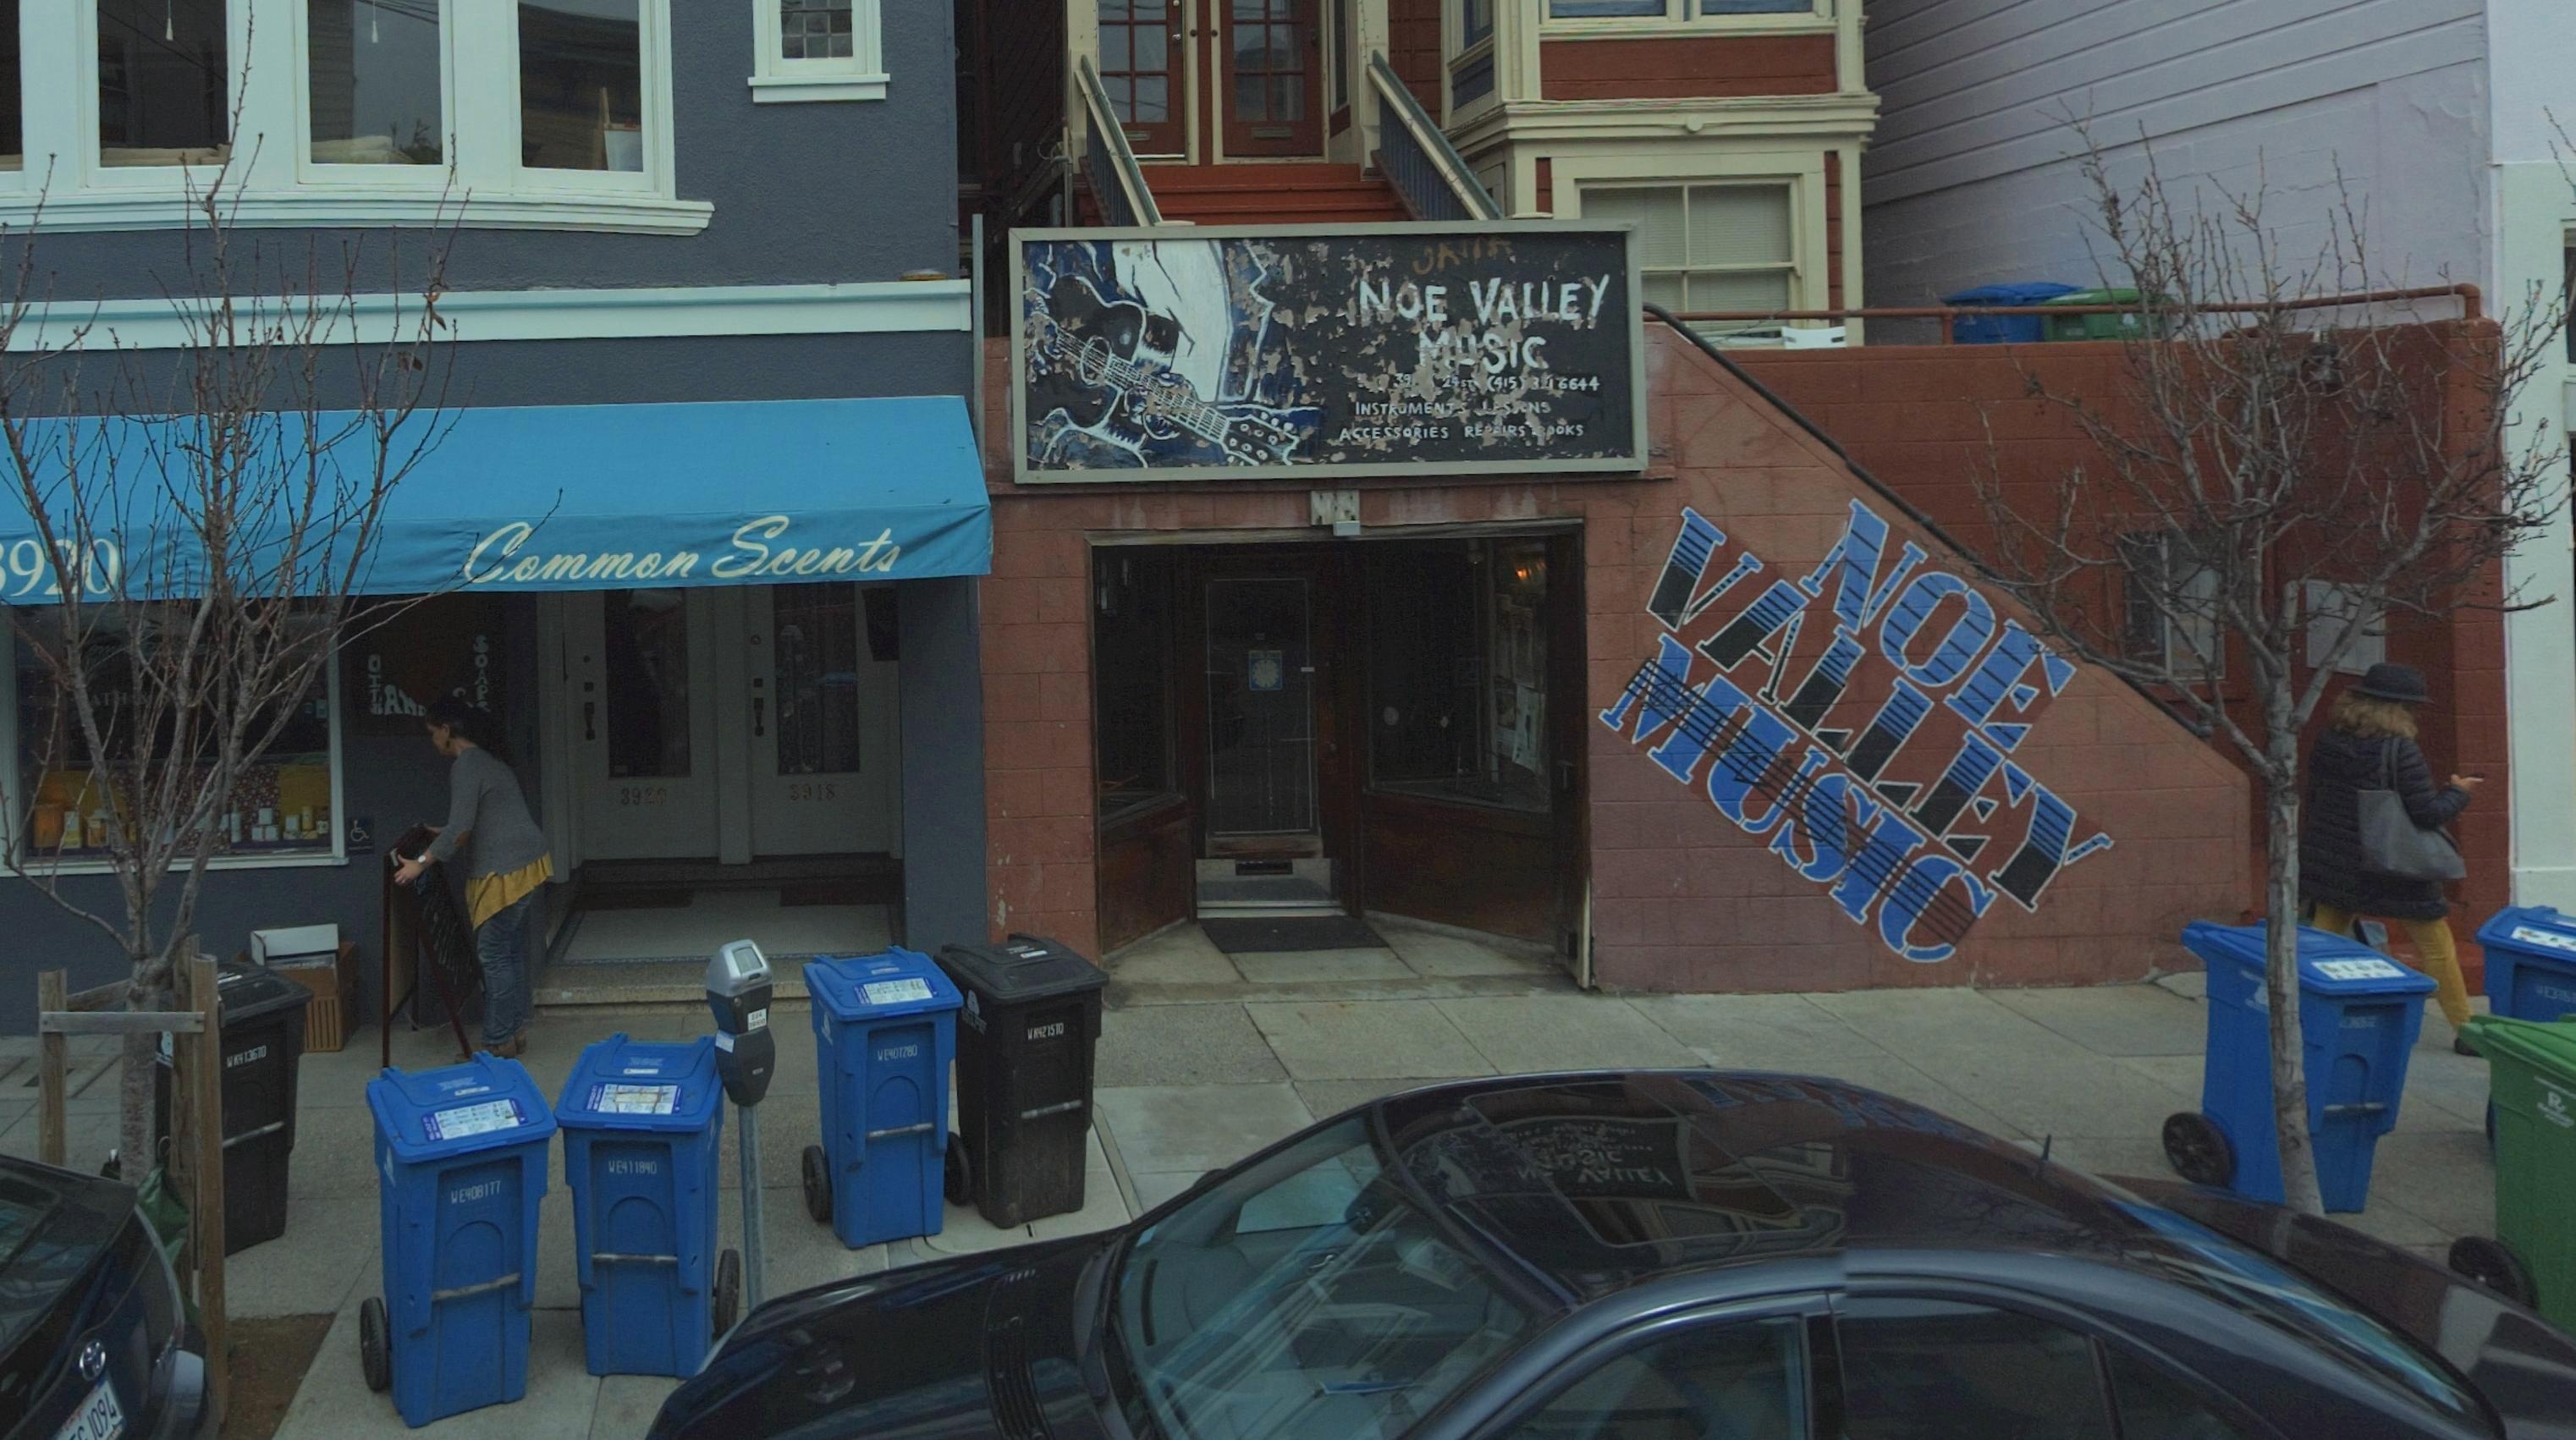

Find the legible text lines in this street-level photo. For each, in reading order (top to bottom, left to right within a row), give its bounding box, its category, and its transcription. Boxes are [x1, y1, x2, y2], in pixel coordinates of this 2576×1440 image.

[1412, 240, 1470, 277] None: JA
[1357, 272, 1615, 327] BusinessName: NOE VALLEY
[1417, 330, 1550, 375] BusinessName: **SIC
[1392, 372, 1412, 389] StreetNumber: 39
[1441, 375, 1474, 388] StreetName: 24ST
[1487, 375, 1600, 393] None: (415)**1-6644
[1355, 398, 1553, 416] None: INSTR*ME*TS **S**NS
[1338, 424, 1586, 443] None: ACCE*SORIES RE****S *OOKS
[462, 511, 905, 585] BusinessName: Common Scents
[9, 537, 120, 597] StreetNumber: 9*0
[1794, 494, 2081, 760] BusinessName: NOE
[473, 633, 489, 701] None: SOAP
[88, 690, 113, 707] None: AT
[367, 652, 385, 717] None: OIL*
[383, 682, 428, 718] None: AND
[1640, 500, 2122, 919] BusinessName: VALLEY
[619, 785, 669, 807] StreetNumber: 3920
[788, 782, 837, 803] StreetNumber: 3918
[1593, 622, 2005, 978] BusinessName: MUSIC
[1025, 1020, 1067, 1042] None: W***1510
[224, 1043, 267, 1070] None: W**13610
[876, 1042, 919, 1064] None: WE401*80
[607, 1159, 658, 1176] None: WE4118*0
[1508, 1144, 1630, 1182] None: ***IC
[1577, 1164, 1683, 1190] None: ****E*
[448, 1178, 502, 1207] None: WE408177
[83, 1388, 122, 1440] None: 1094